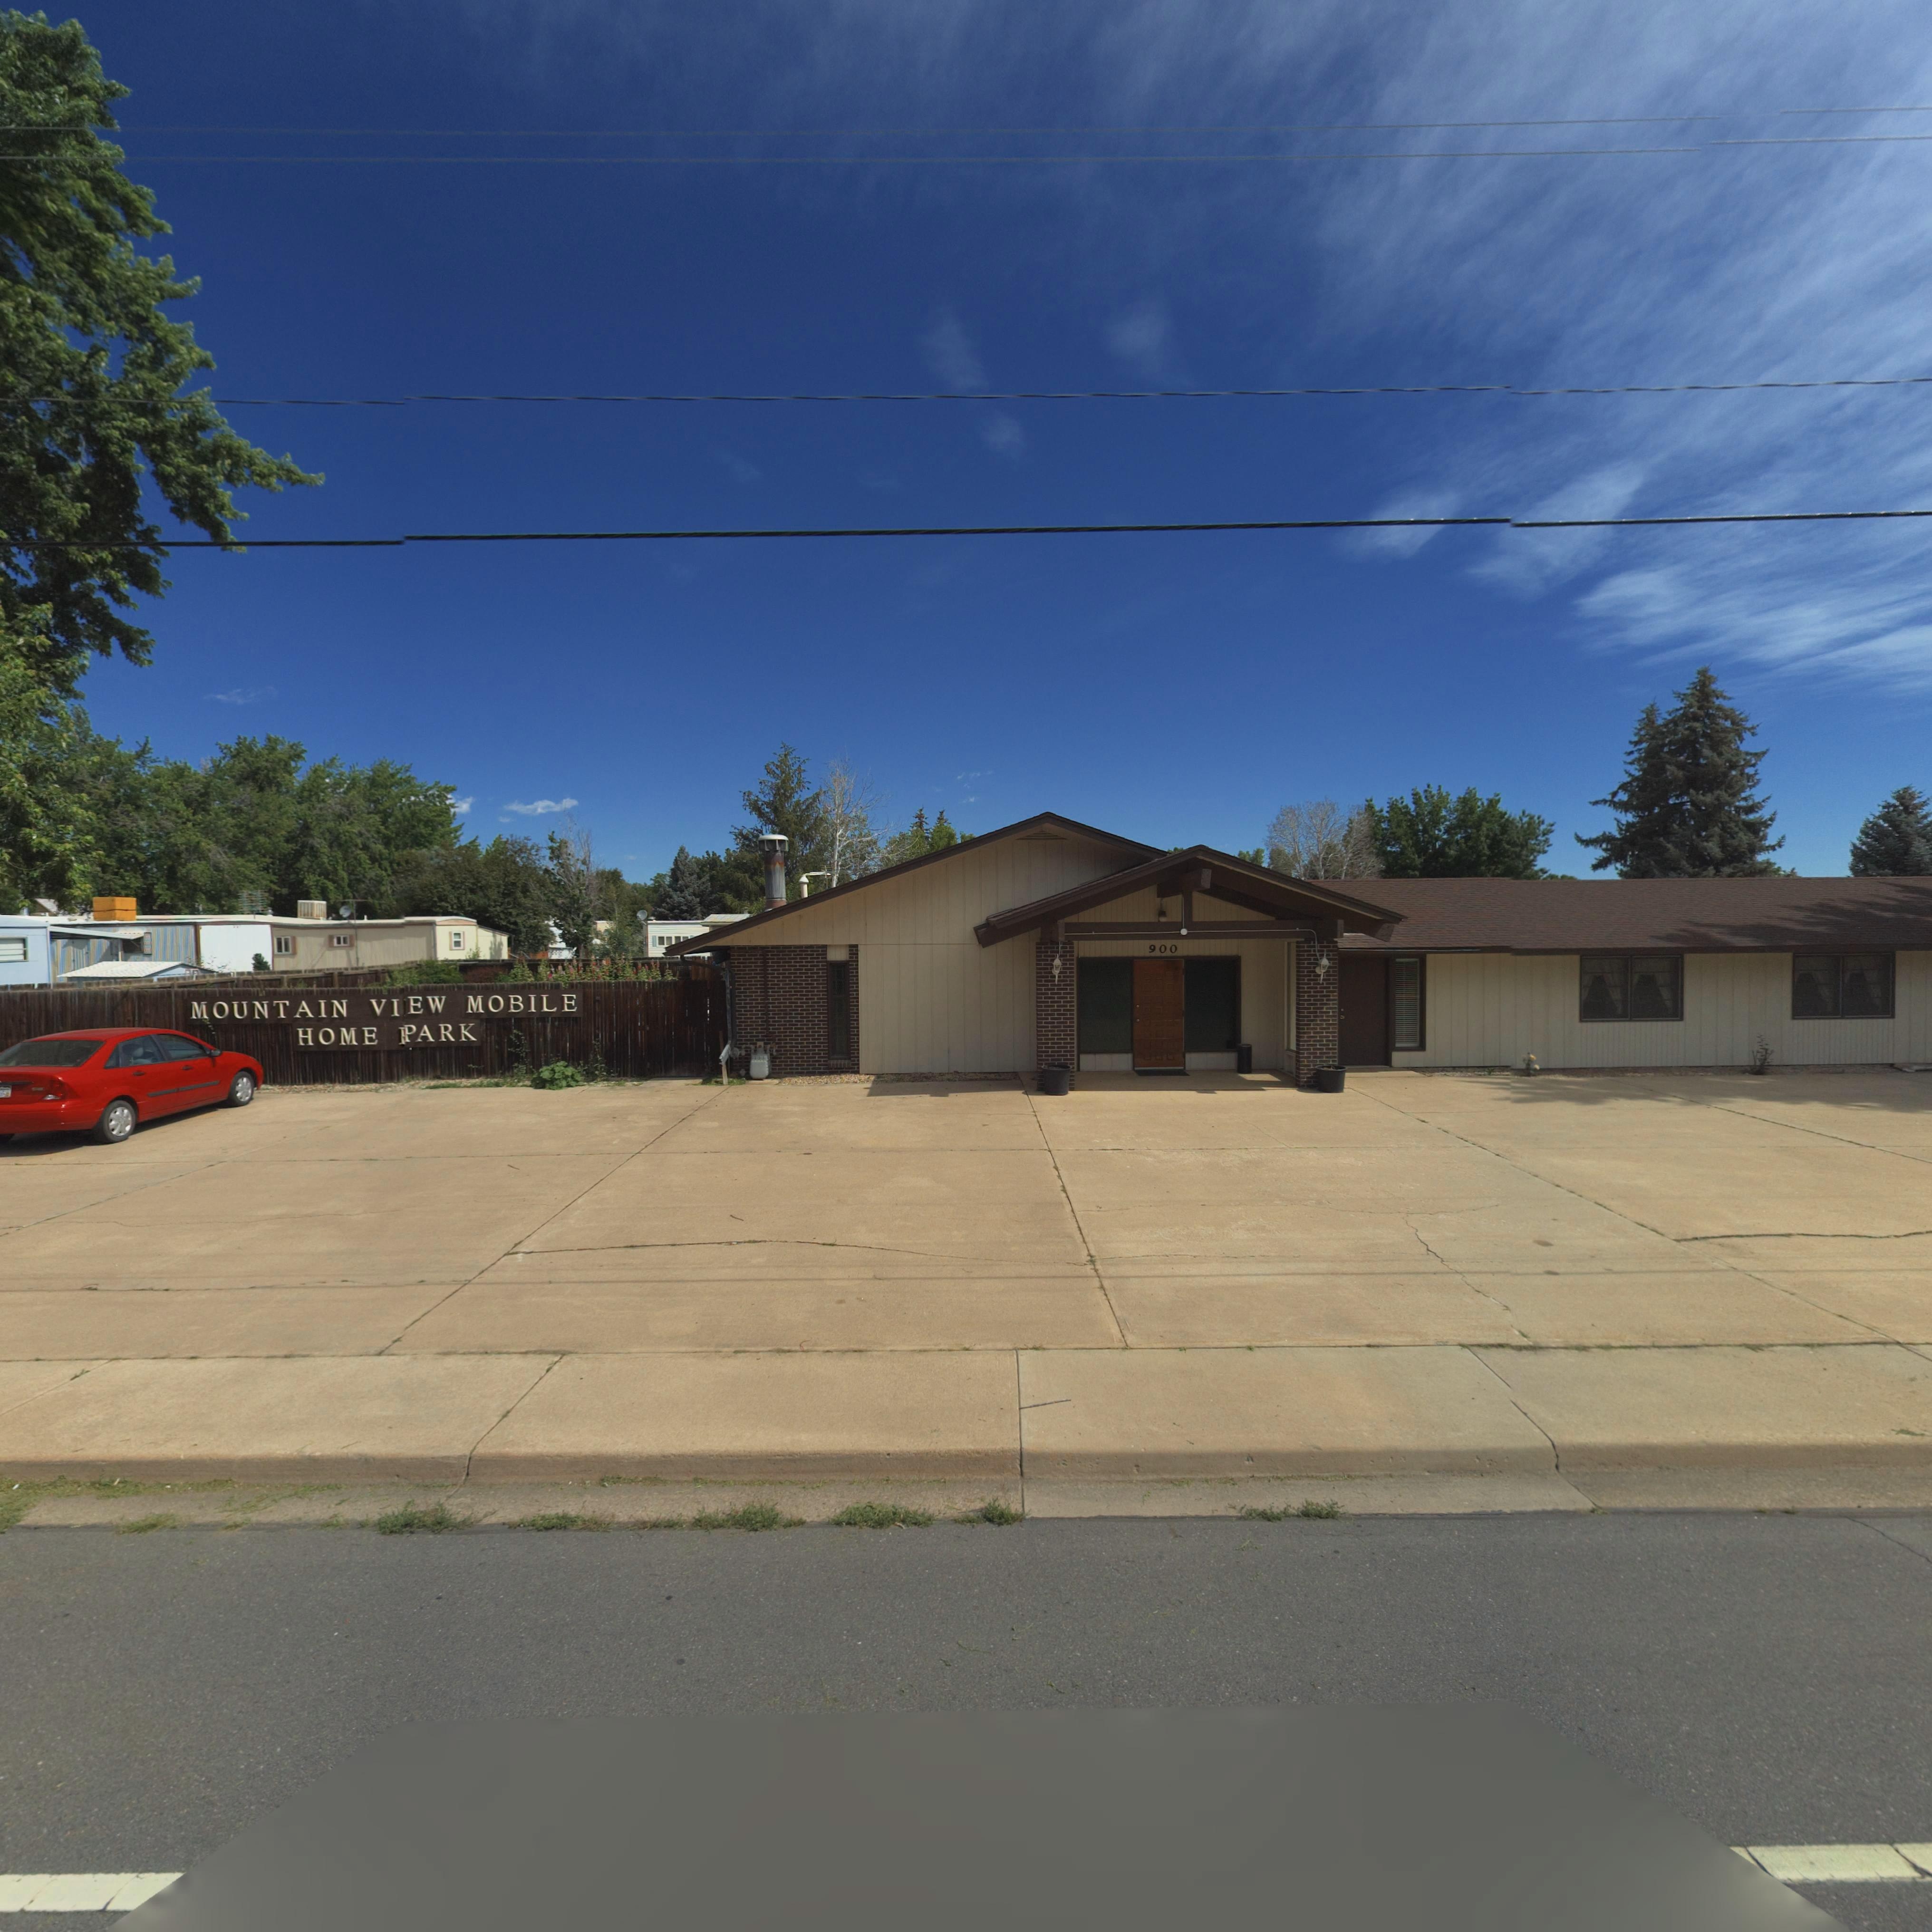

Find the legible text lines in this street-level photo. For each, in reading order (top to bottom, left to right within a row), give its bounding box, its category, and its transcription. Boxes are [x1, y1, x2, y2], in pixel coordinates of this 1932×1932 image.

[1148, 943, 1178, 954] StreetNumber: 900
[188, 991, 580, 1022] BusinessName: MOUNTAIN VIEW MOBILE
[293, 1022, 480, 1046] BusinessName: HOME *ARK